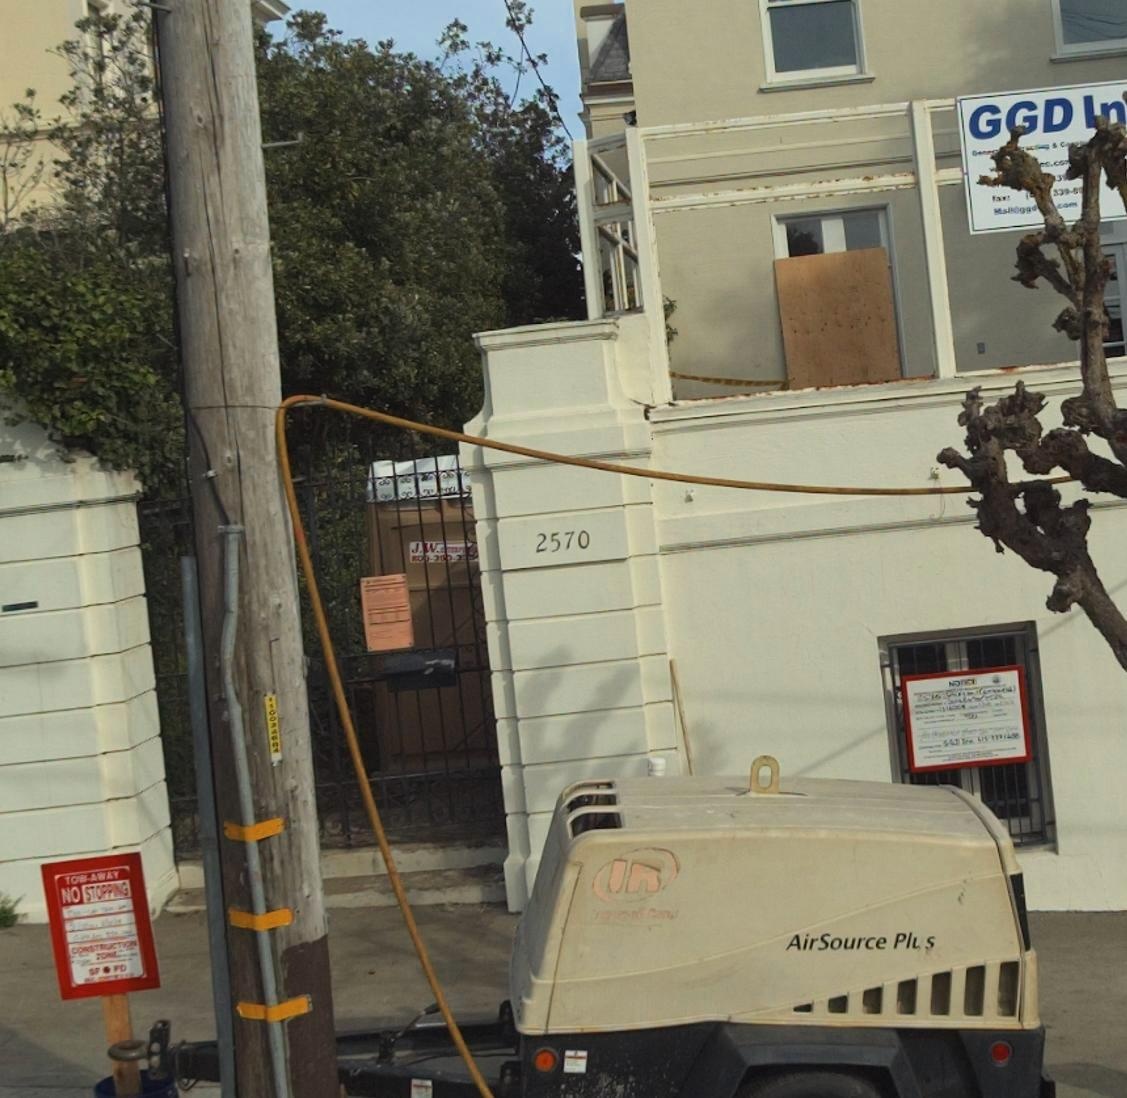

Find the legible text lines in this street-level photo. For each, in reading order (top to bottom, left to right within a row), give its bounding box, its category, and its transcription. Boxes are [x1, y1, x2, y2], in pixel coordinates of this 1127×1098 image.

[965, 93, 1078, 144] None: GGD
[408, 540, 444, 556] None: J.W.
[532, 527, 593, 556] StreetNumber: 2570
[60, 867, 122, 887] None: TOW-AWAY
[57, 878, 133, 907] None: NO STOPPING
[780, 929, 938, 955] None: AirSource Pl*s
[112, 962, 129, 975] None: PD